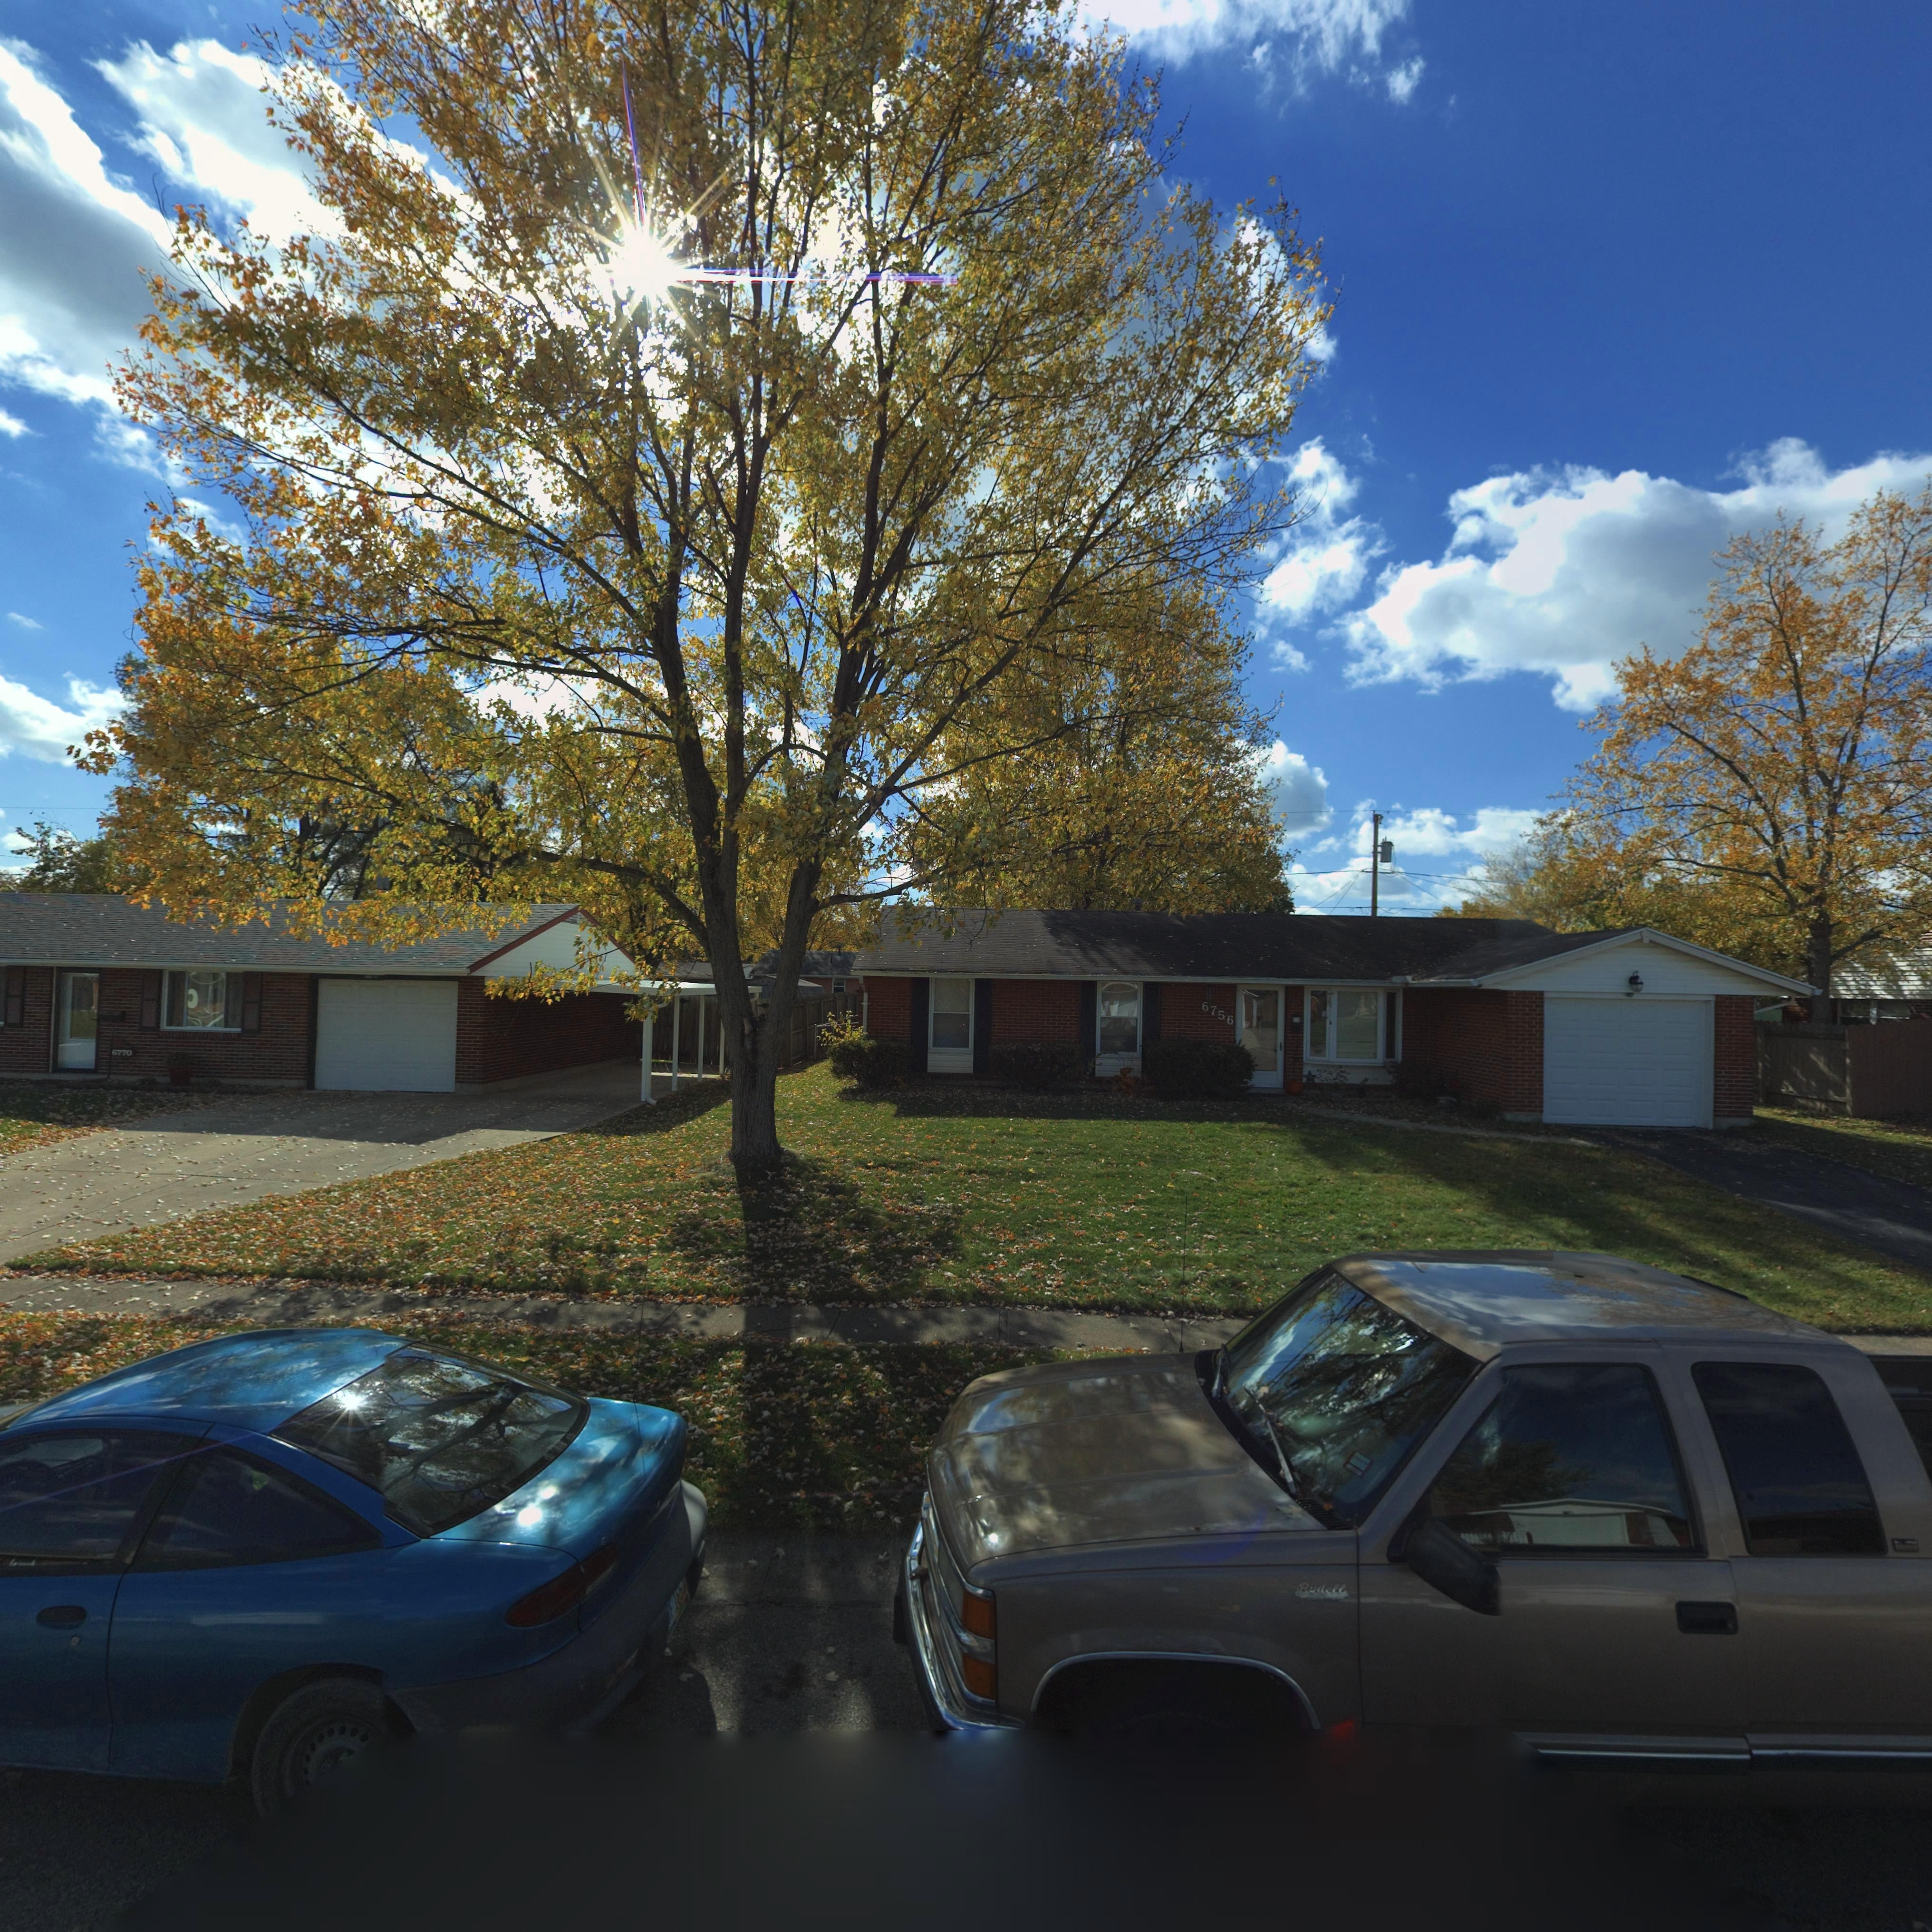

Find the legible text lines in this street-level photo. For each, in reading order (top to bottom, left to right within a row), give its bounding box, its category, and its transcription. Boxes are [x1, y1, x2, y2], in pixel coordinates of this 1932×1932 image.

[1201, 1001, 1234, 1025] StreetNumber: 6756
[110, 1049, 133, 1057] StreetNumber: 6770